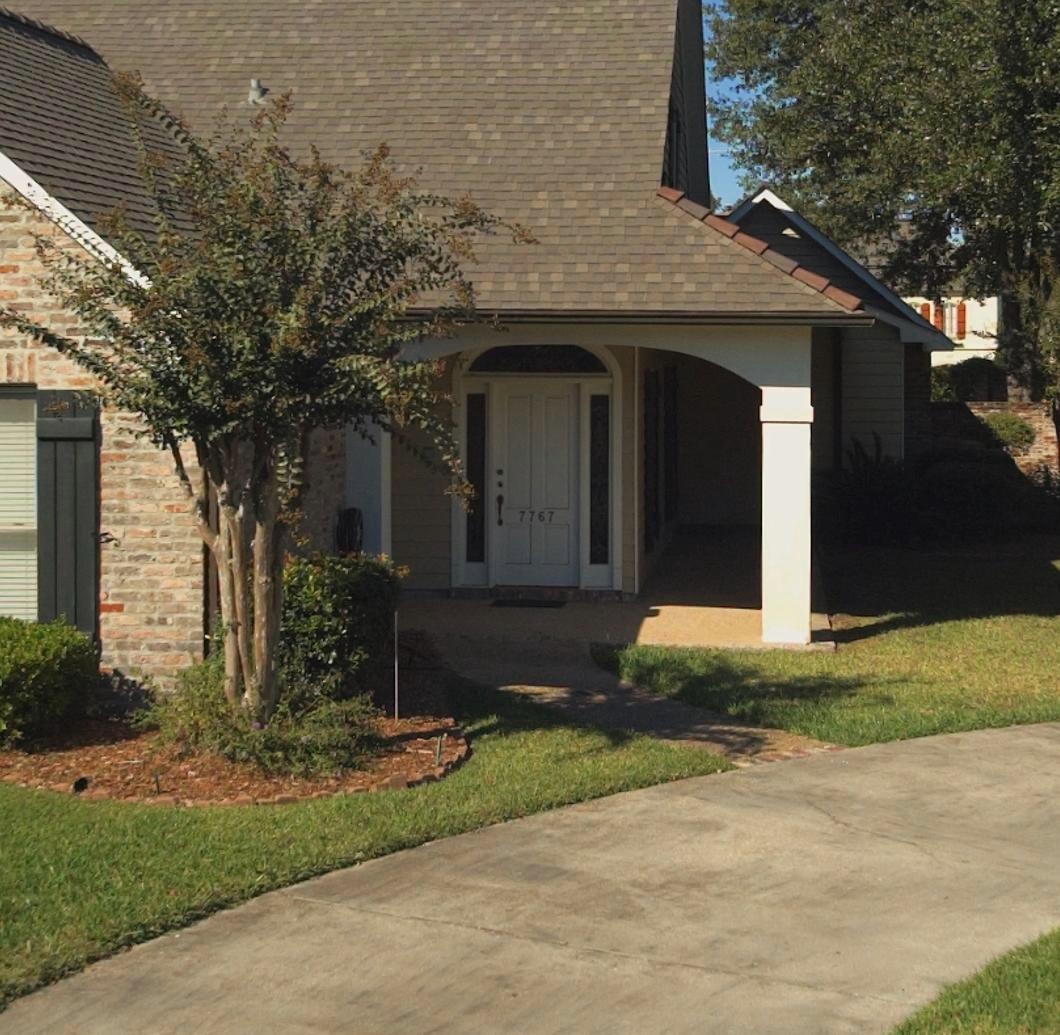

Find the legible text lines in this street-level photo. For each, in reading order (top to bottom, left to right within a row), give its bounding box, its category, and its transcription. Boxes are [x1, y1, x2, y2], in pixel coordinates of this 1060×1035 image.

[517, 509, 556, 523] StreetNumber: 7767